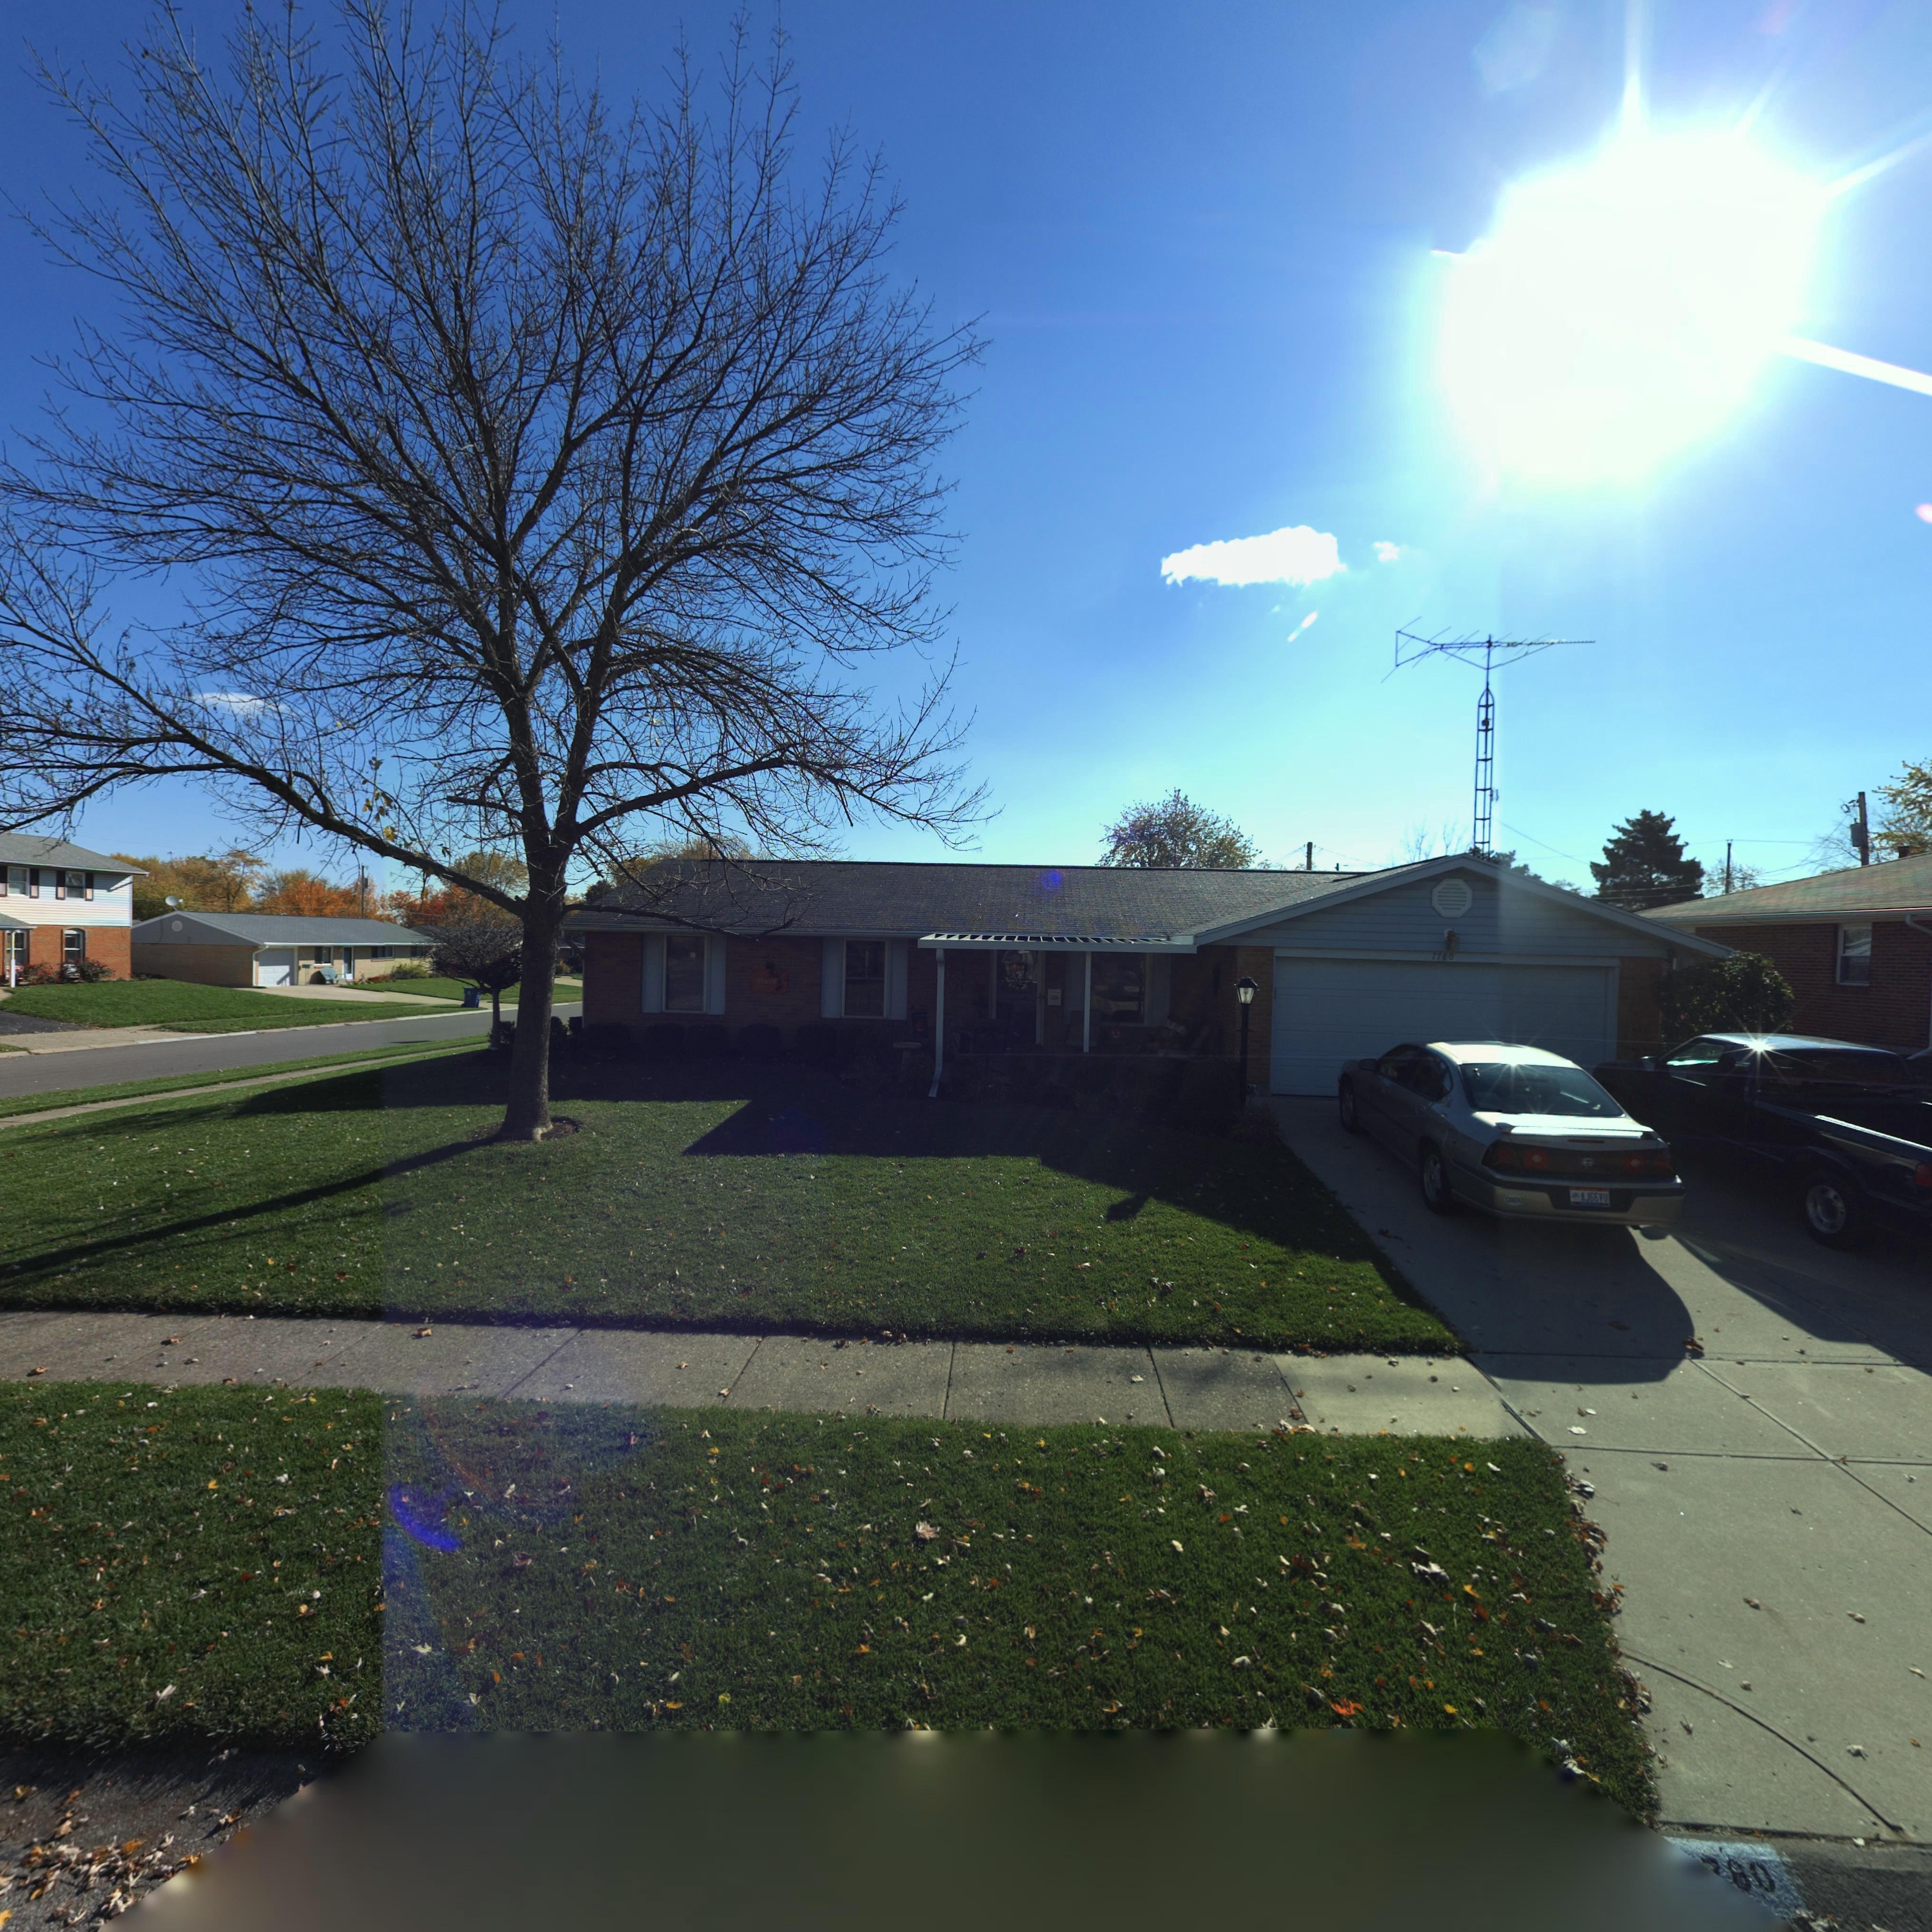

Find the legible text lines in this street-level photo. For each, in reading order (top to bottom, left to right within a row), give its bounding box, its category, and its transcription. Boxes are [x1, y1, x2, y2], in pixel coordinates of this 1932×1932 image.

[1430, 952, 1455, 961] StreetNumber: 7780
[1722, 1856, 1779, 1895] StreetNumber: *0